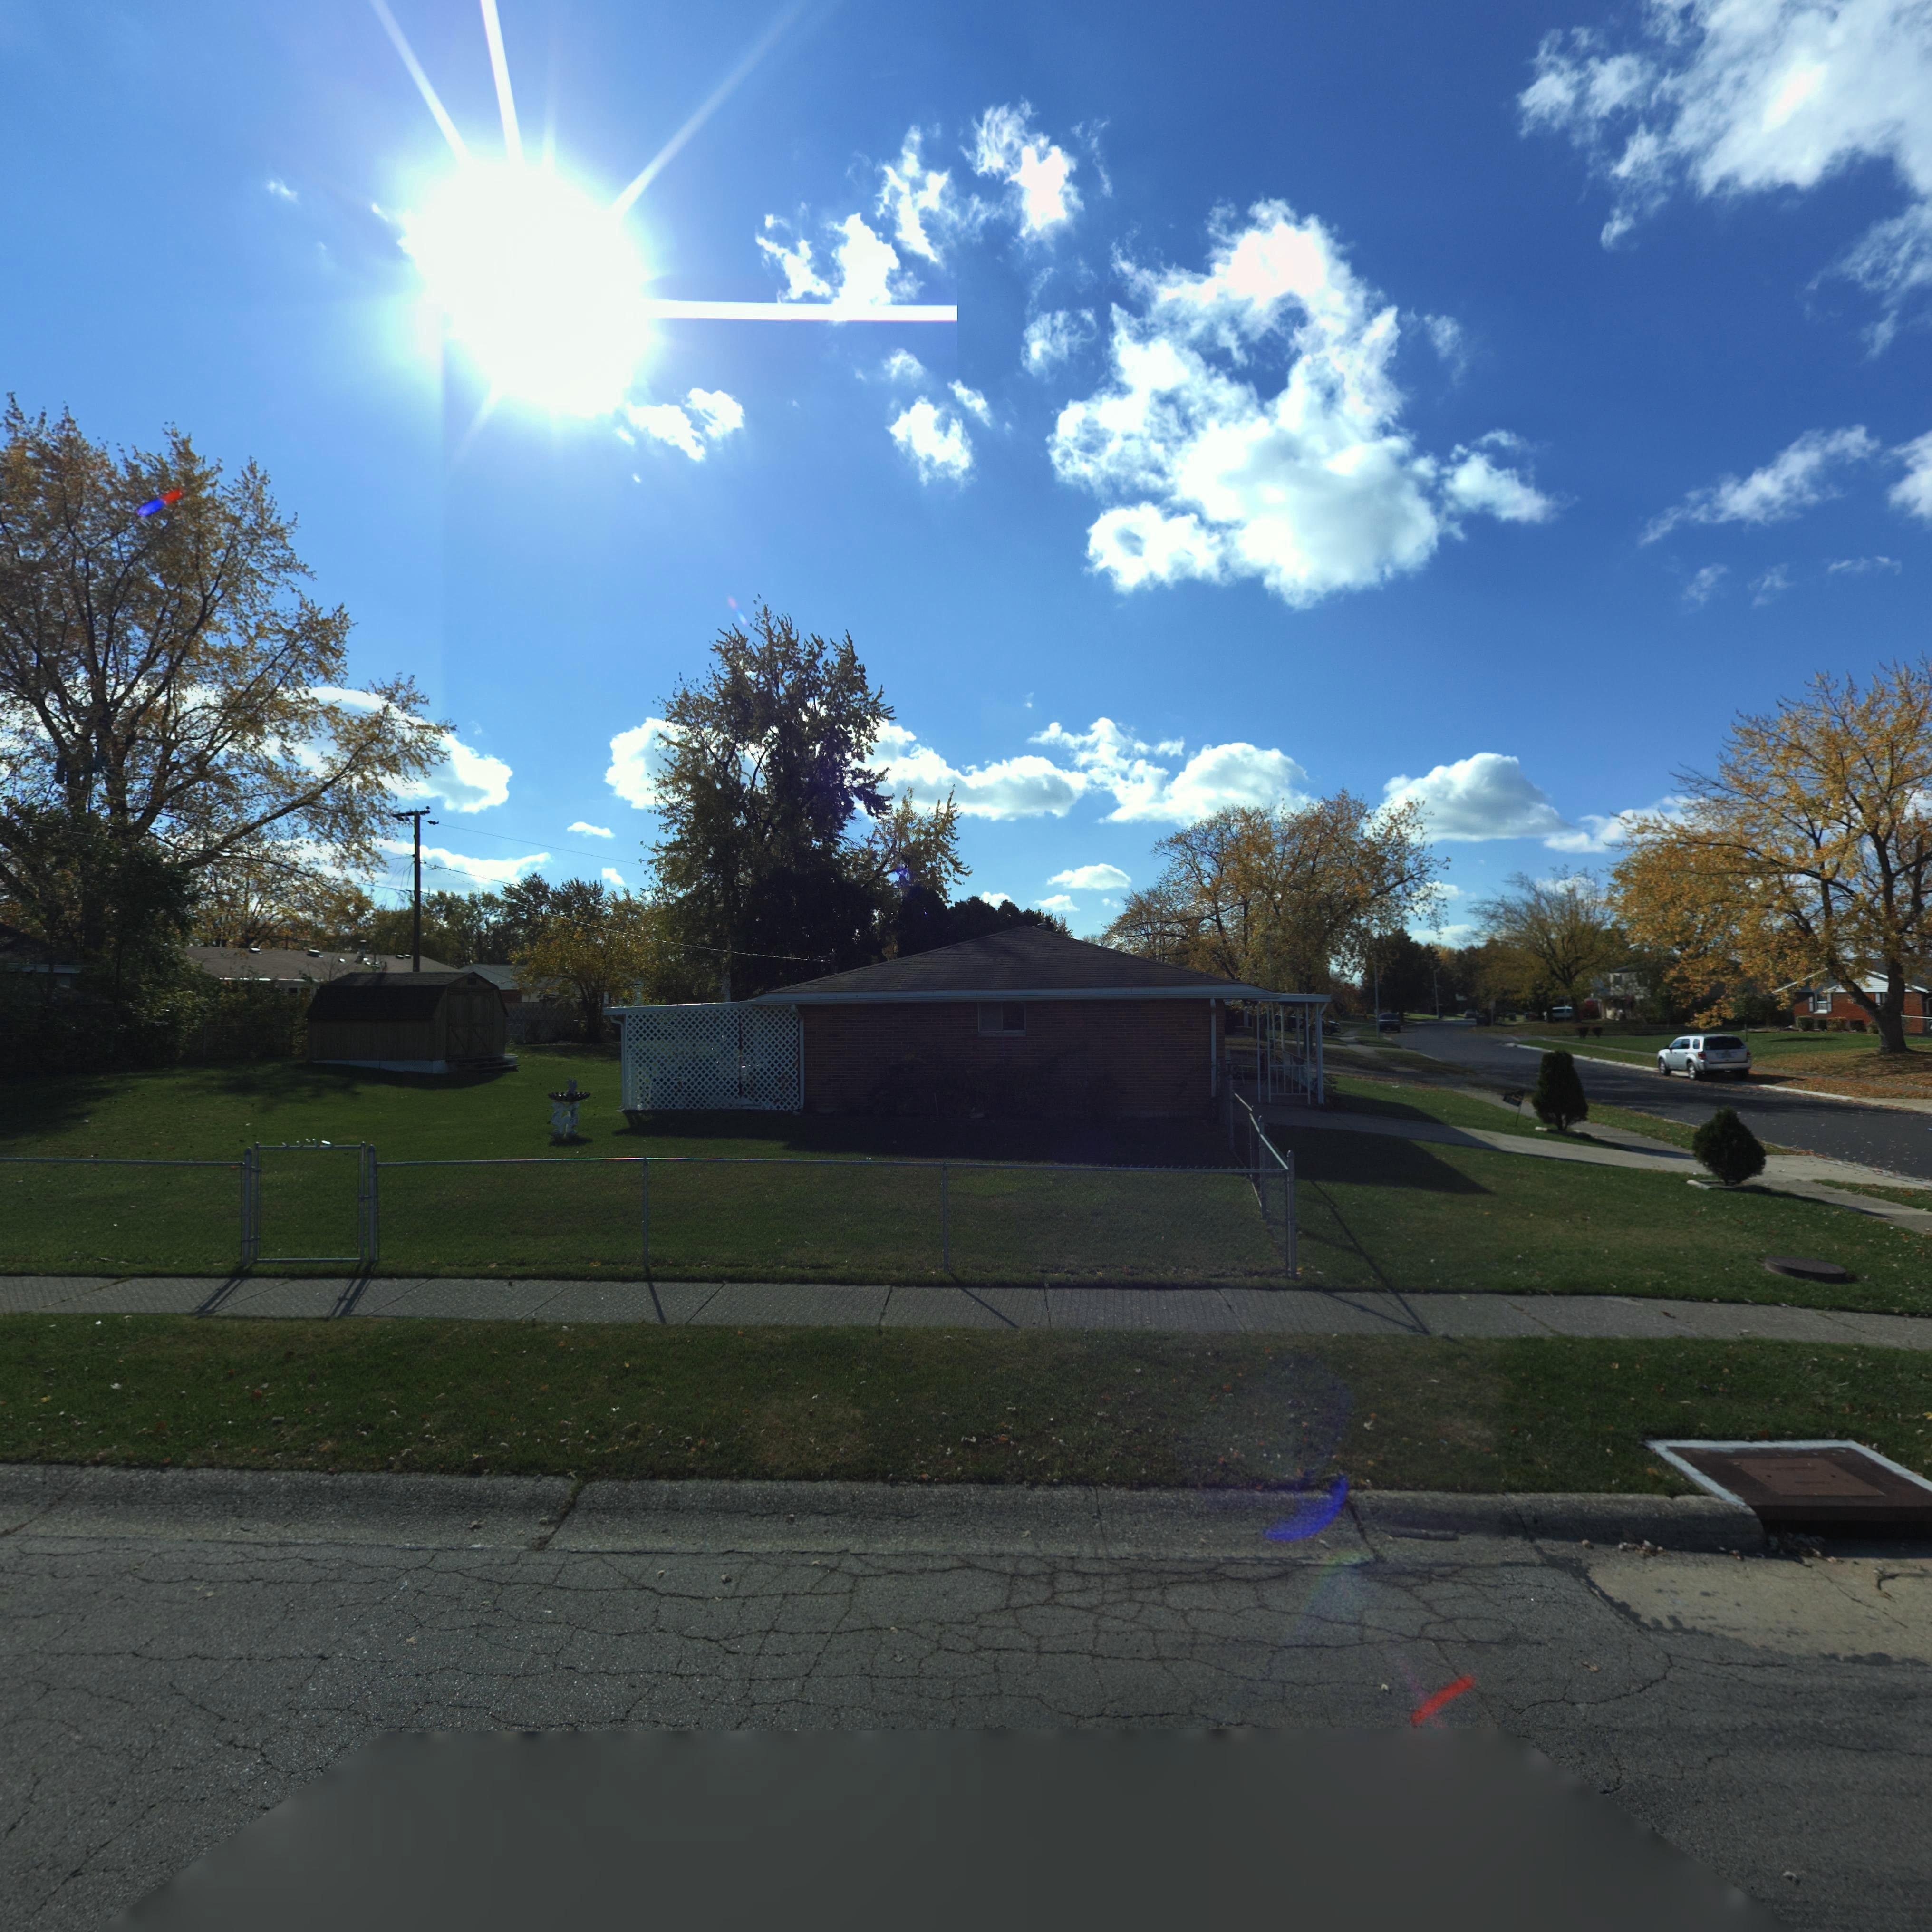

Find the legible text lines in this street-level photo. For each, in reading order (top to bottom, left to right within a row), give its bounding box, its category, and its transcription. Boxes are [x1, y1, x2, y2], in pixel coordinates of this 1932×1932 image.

[1504, 1096, 1520, 1107] StreetNumber: 7*12